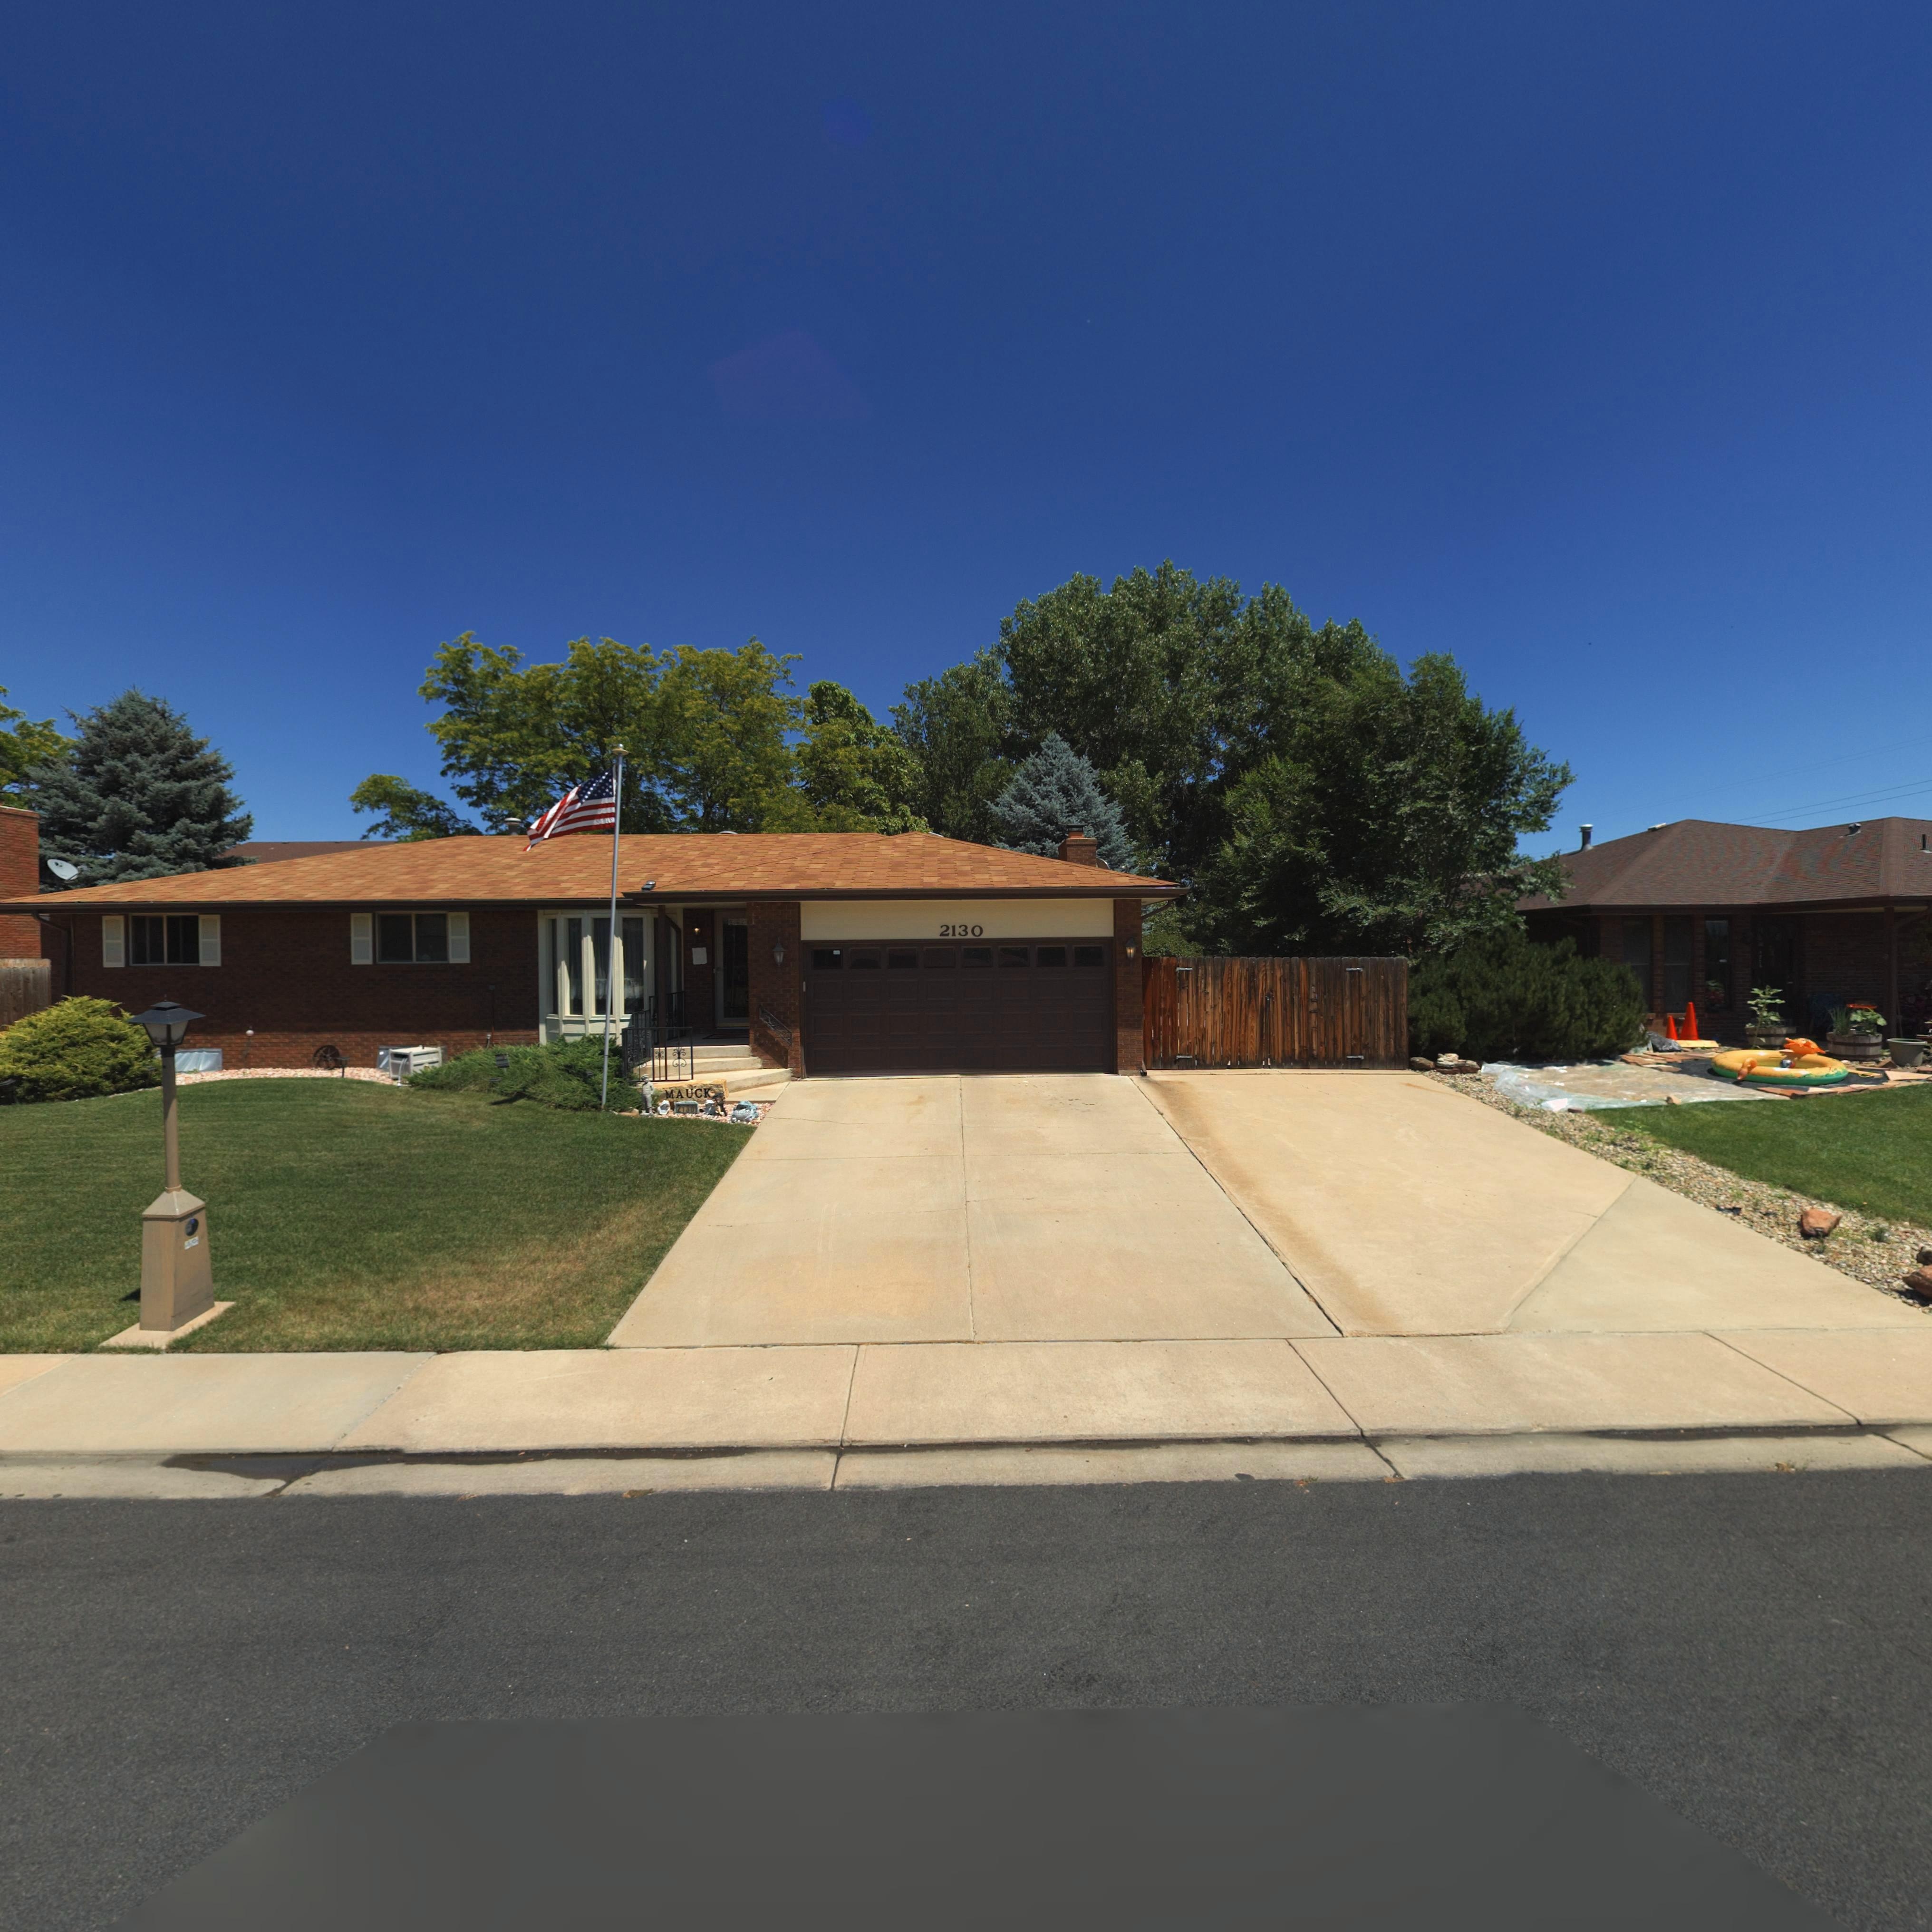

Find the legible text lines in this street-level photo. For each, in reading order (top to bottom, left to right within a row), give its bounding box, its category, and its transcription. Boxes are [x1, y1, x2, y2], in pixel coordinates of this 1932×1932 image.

[939, 924, 984, 937] StreetNumber: 2130
[676, 1105, 694, 1112] StreetNumber: 2130